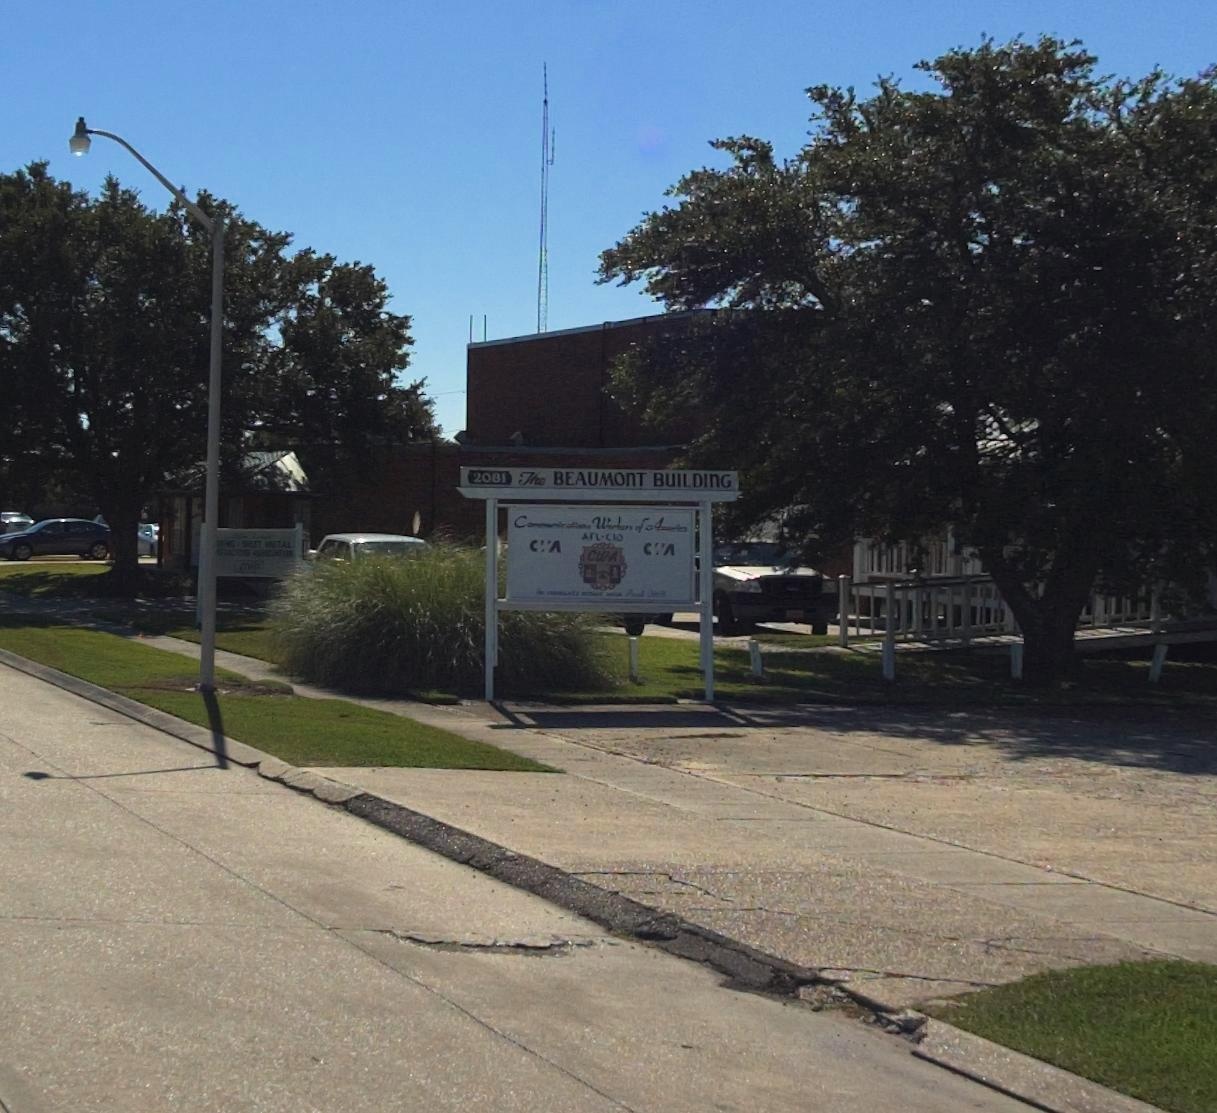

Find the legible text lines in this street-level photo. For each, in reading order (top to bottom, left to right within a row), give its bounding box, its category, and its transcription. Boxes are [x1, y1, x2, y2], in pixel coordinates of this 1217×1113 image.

[470, 469, 508, 485] StreetNumber: 2081
[516, 468, 734, 490] BusinessName: The BEAUMONT BUILDING
[512, 513, 689, 534] BusinessName: Communications Workers of America
[525, 537, 565, 556] None: CWS
[584, 547, 620, 565] None: CWA
[640, 539, 677, 559] None: CWA